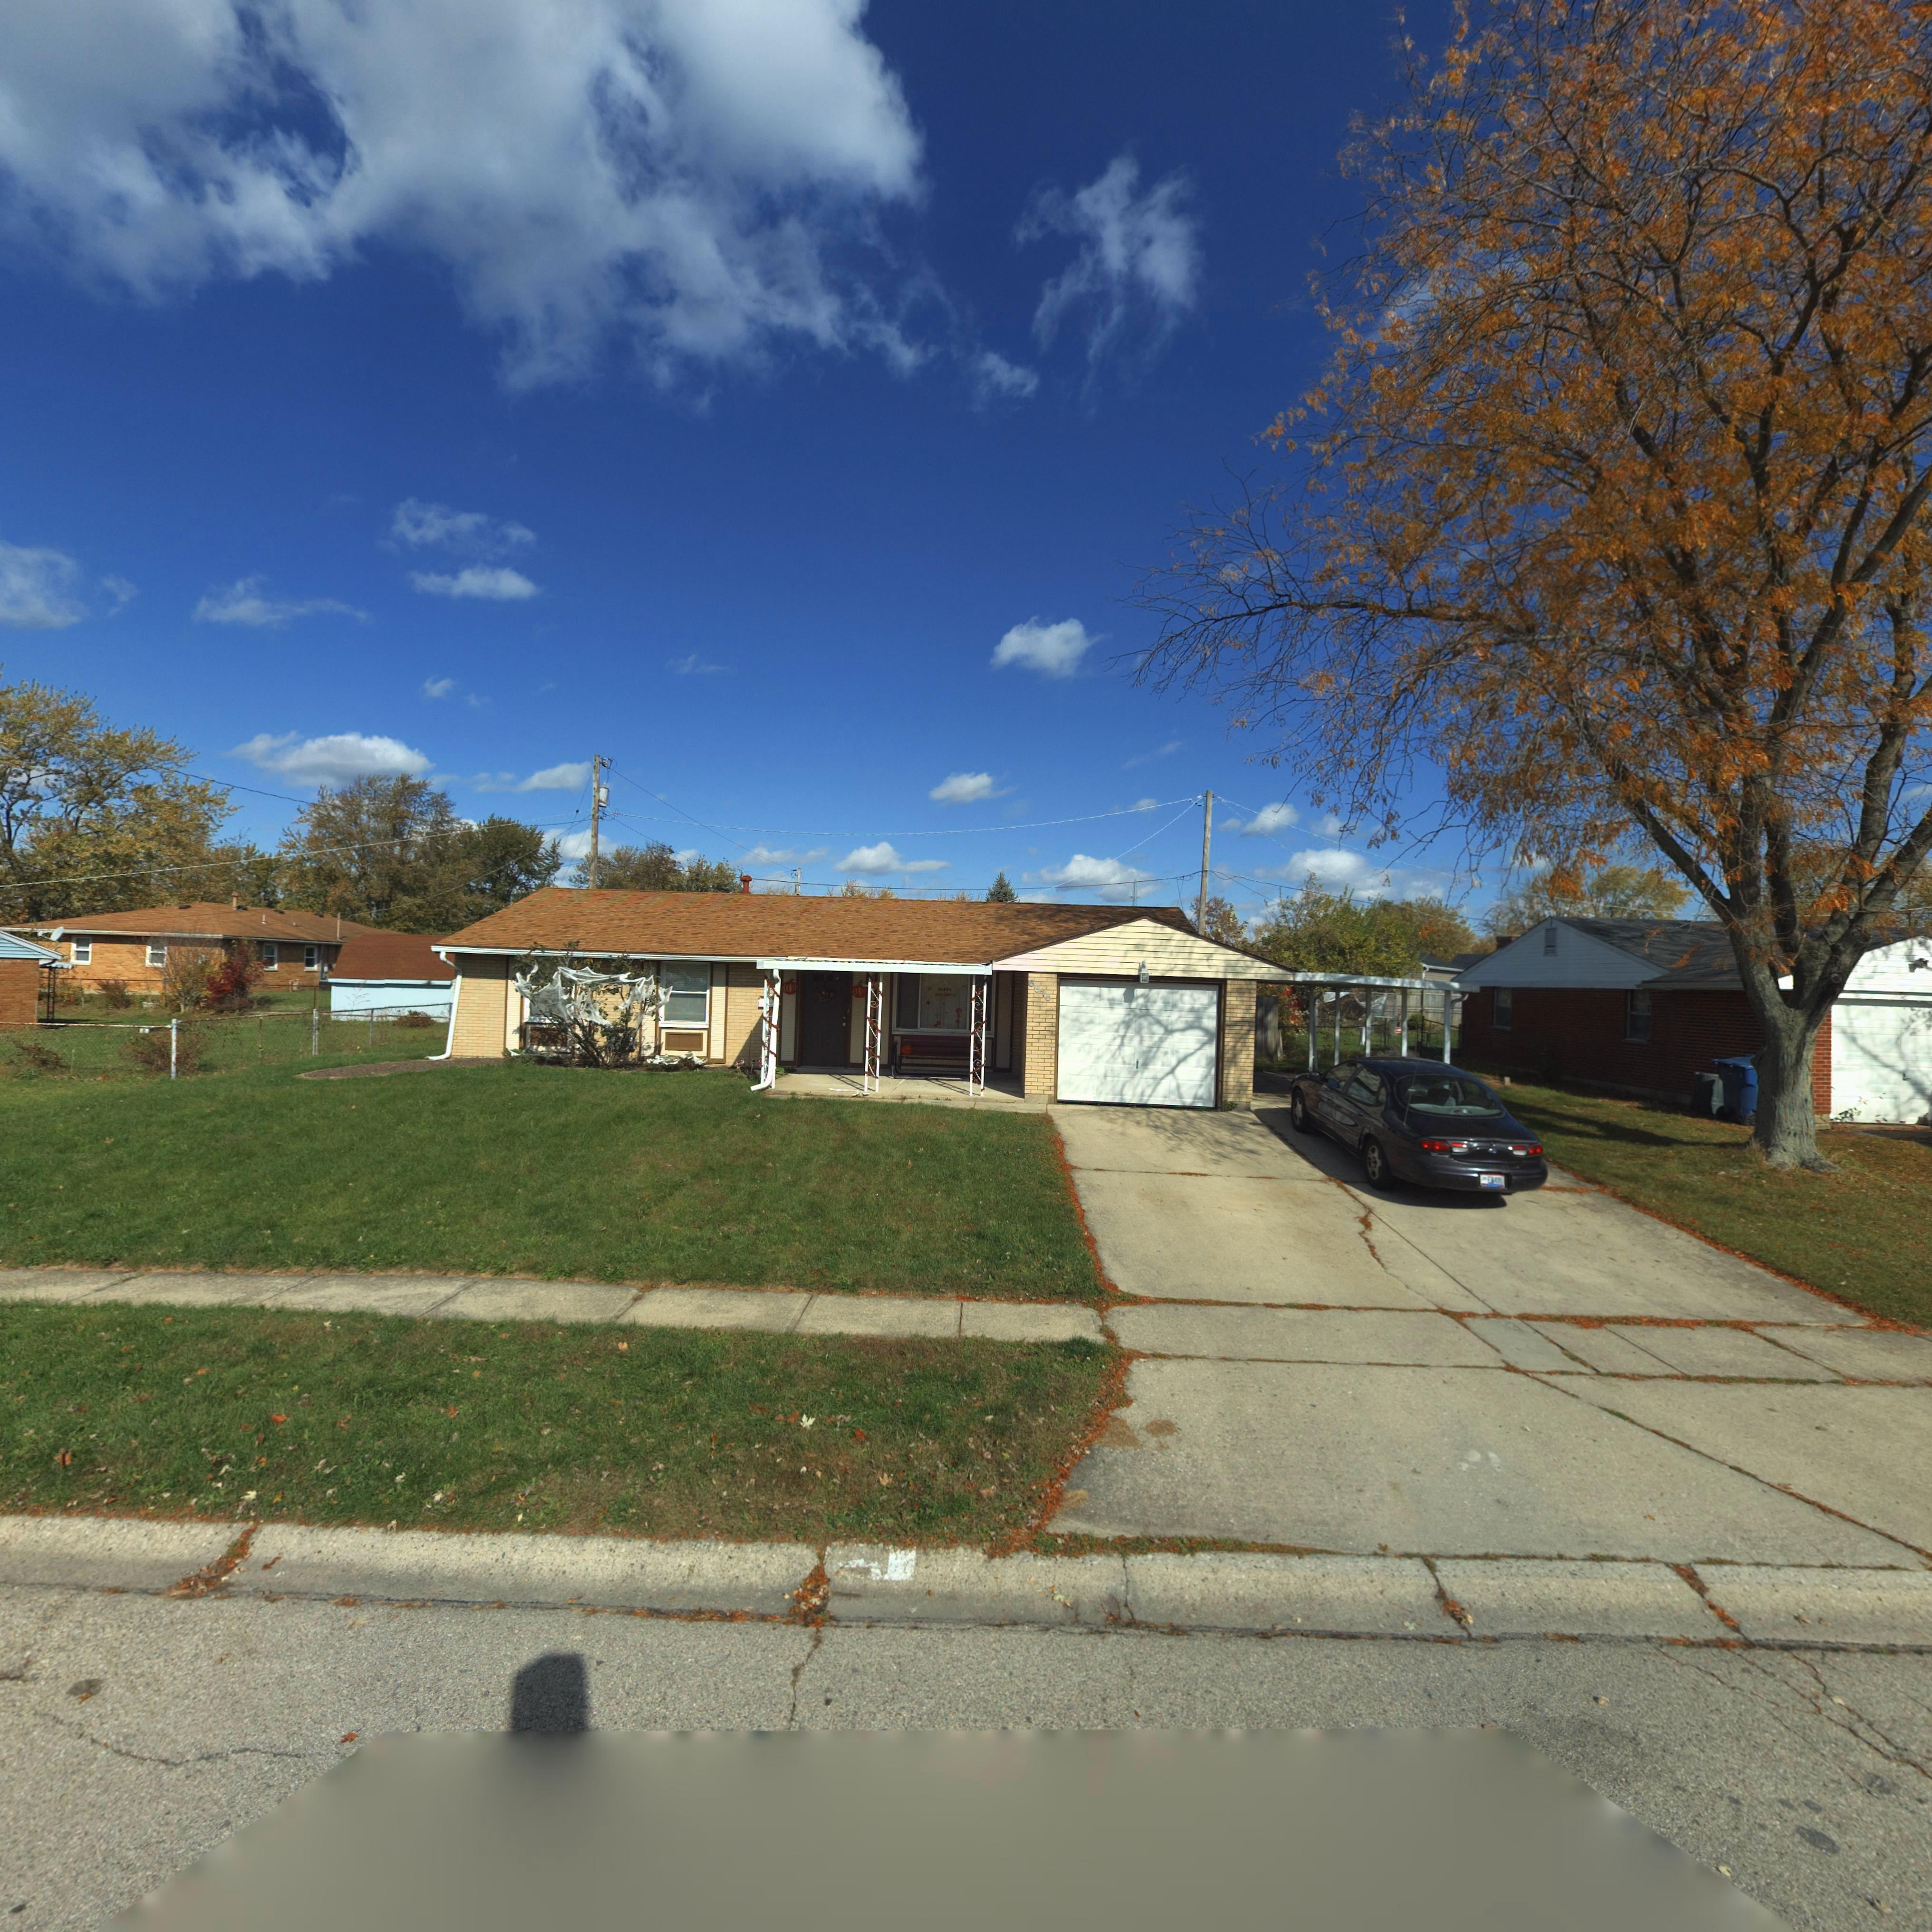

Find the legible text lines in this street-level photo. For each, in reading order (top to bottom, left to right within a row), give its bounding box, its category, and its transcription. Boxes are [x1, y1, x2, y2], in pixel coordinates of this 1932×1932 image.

[1028, 979, 1052, 1002] StreetNumber: 6615